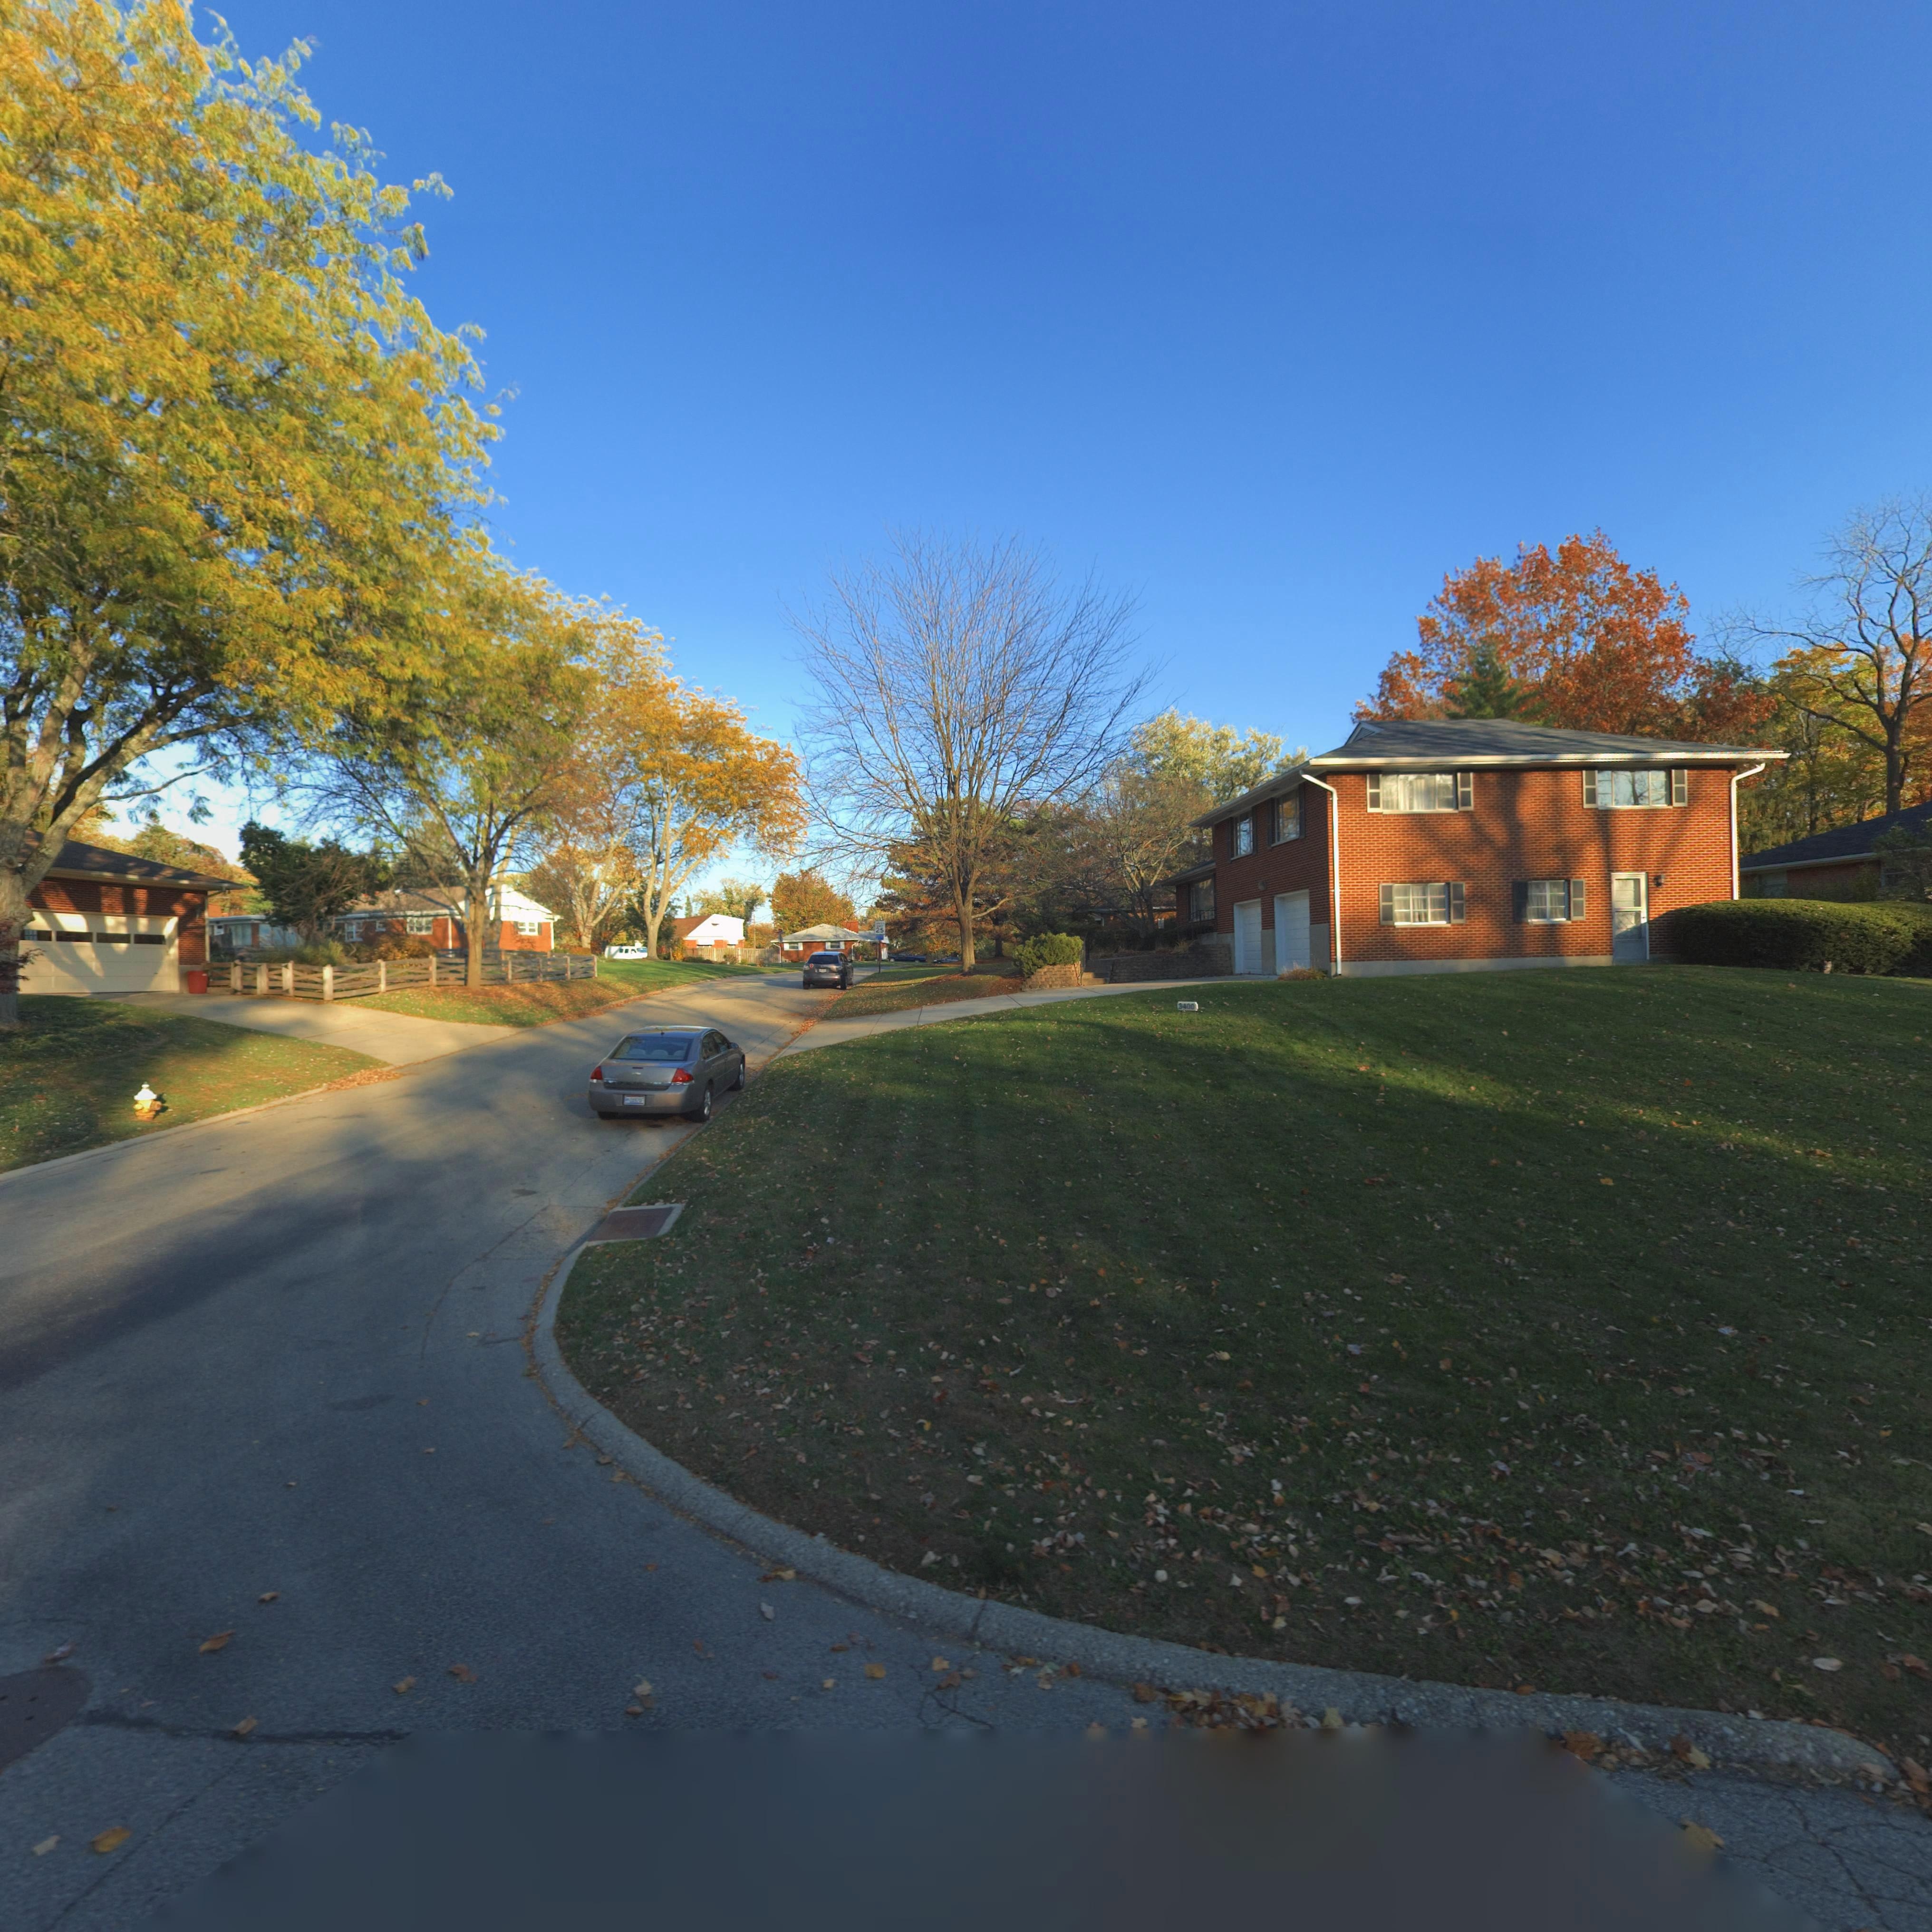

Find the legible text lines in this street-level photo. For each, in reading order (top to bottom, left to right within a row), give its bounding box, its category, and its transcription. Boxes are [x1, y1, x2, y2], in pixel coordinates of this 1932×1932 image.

[1178, 1002, 1195, 1010] StreetNumber: 3400